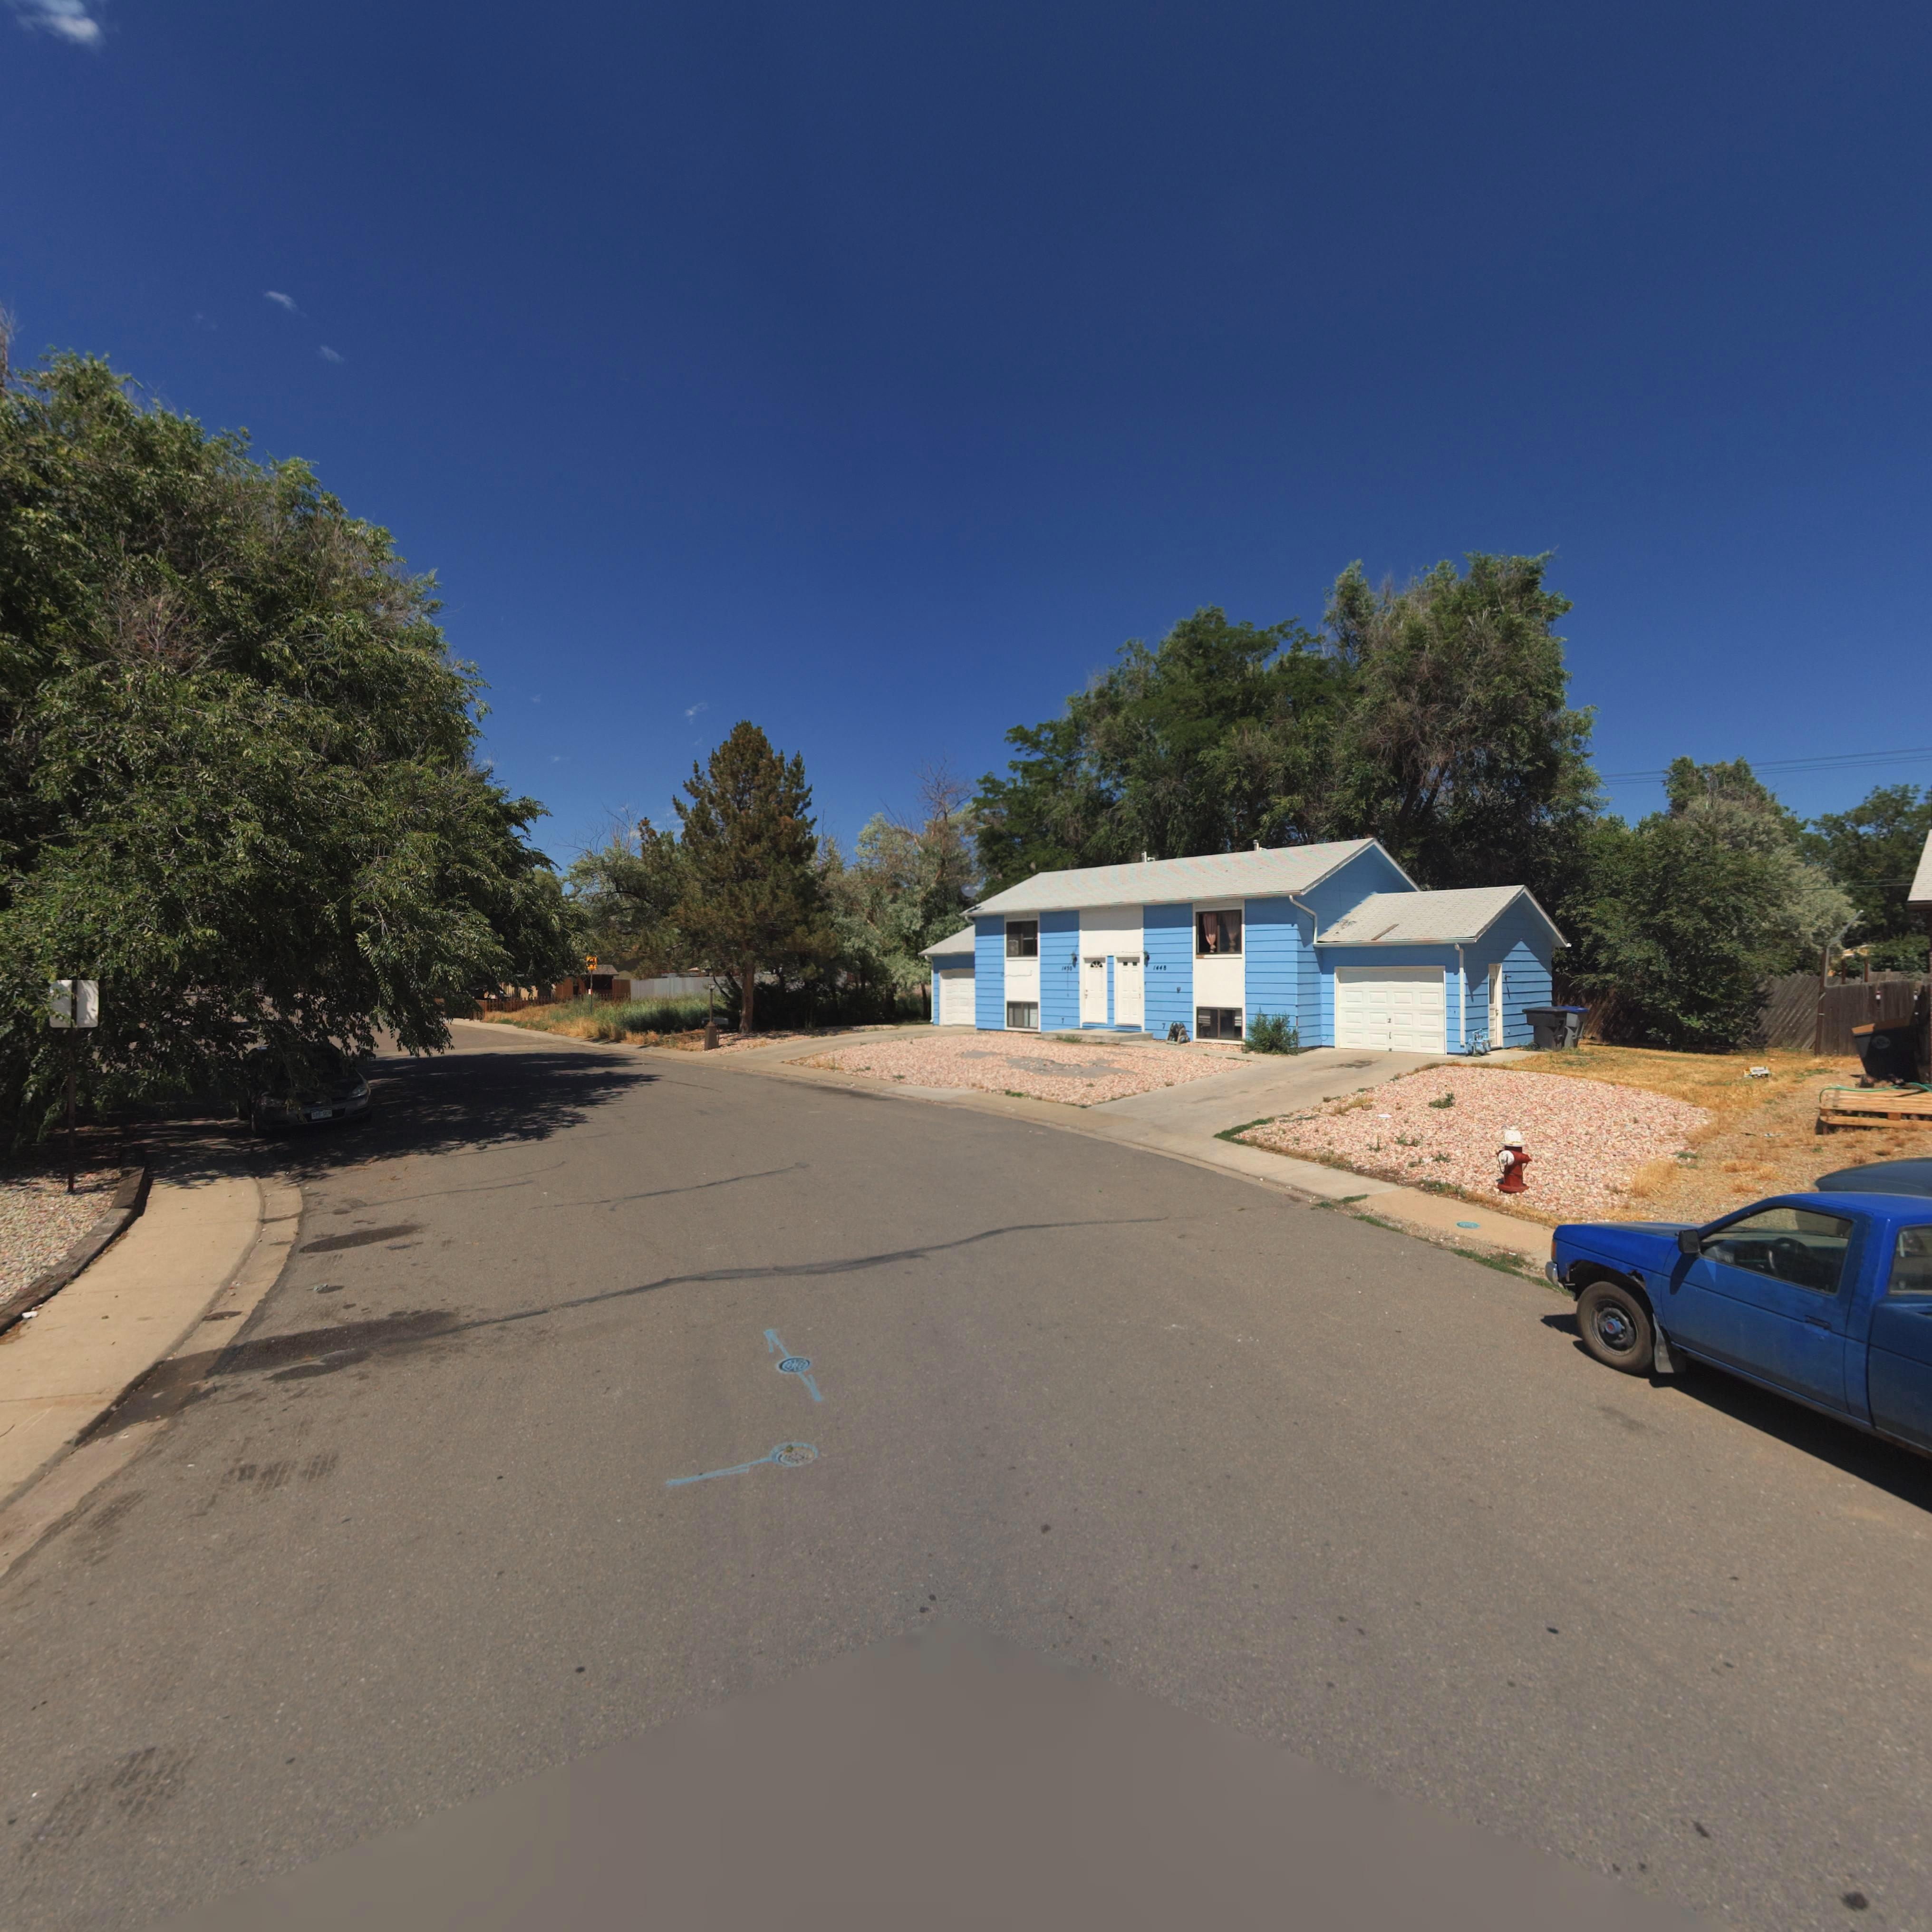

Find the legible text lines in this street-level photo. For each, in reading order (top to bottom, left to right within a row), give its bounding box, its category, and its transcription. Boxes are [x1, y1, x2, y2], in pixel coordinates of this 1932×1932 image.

[1062, 966, 1072, 971] StreetNumber: 1450
[1153, 965, 1167, 970] StreetNumber: 1448